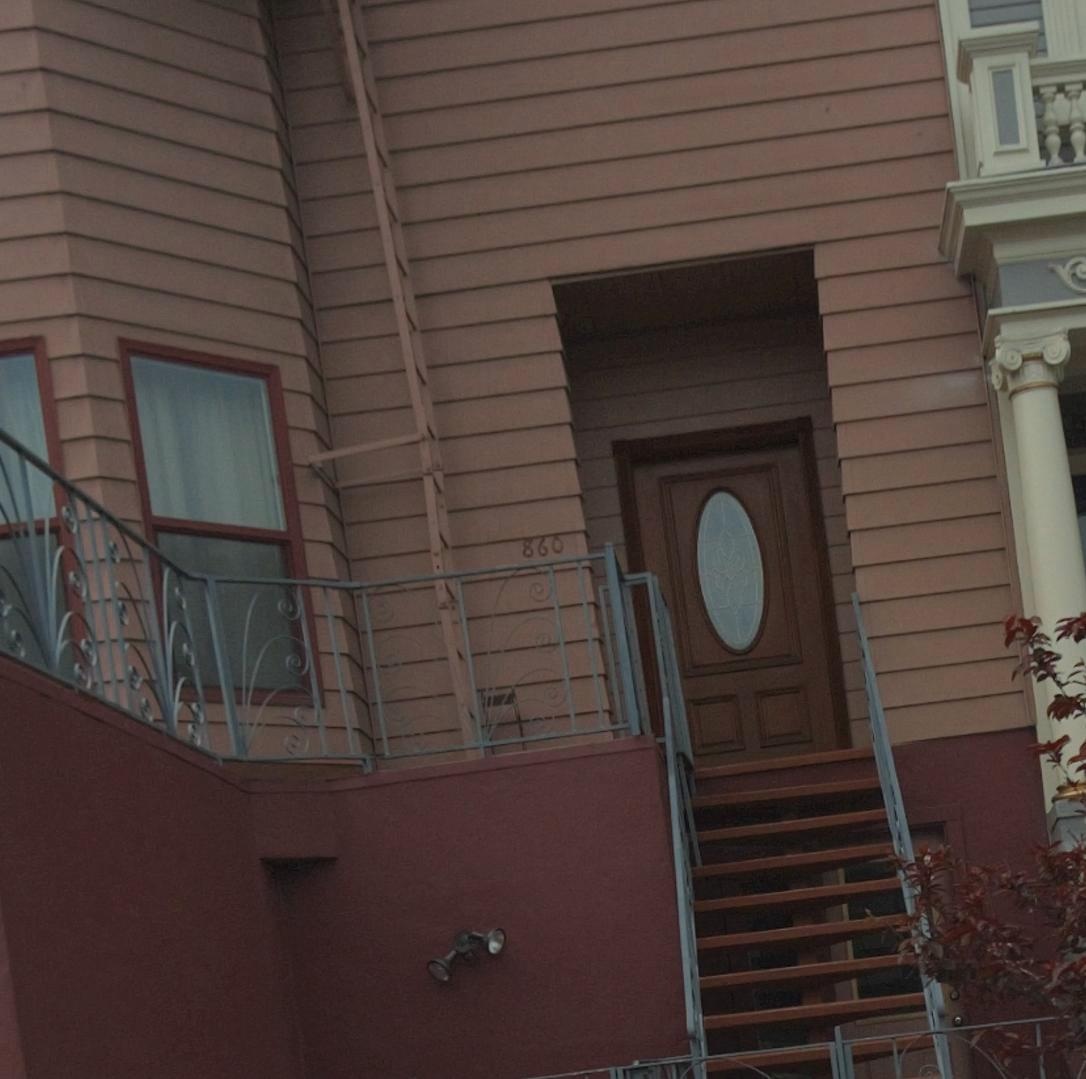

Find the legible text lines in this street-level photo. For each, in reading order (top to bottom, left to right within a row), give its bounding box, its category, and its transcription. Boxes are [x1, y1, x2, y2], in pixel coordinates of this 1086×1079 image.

[519, 533, 566, 560] StreetNumber: 860